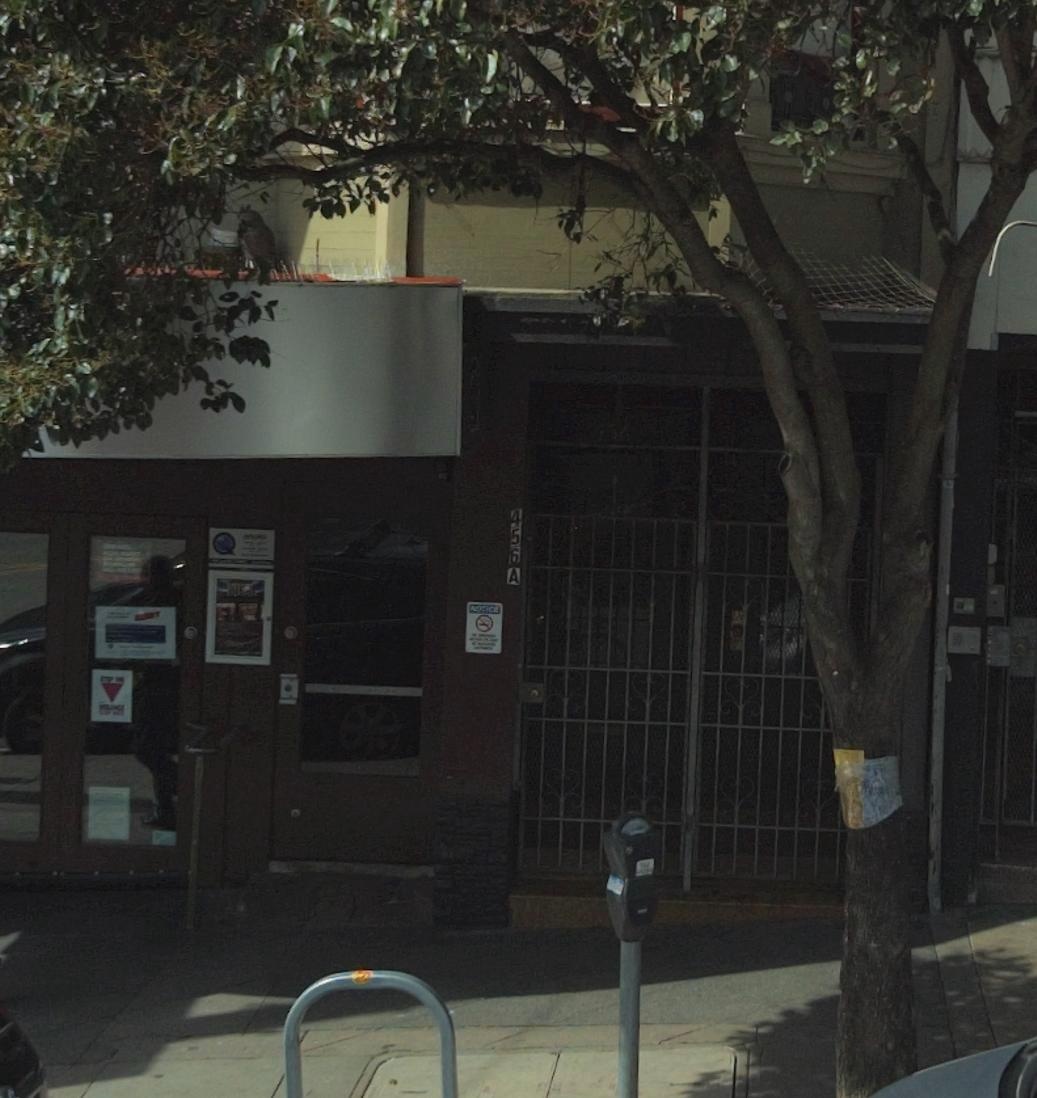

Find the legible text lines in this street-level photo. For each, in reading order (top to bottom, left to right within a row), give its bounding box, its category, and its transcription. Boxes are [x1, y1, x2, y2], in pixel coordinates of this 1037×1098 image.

[508, 509, 522, 585] StreetNumber: 456A
[469, 603, 500, 615] None: NOTICE